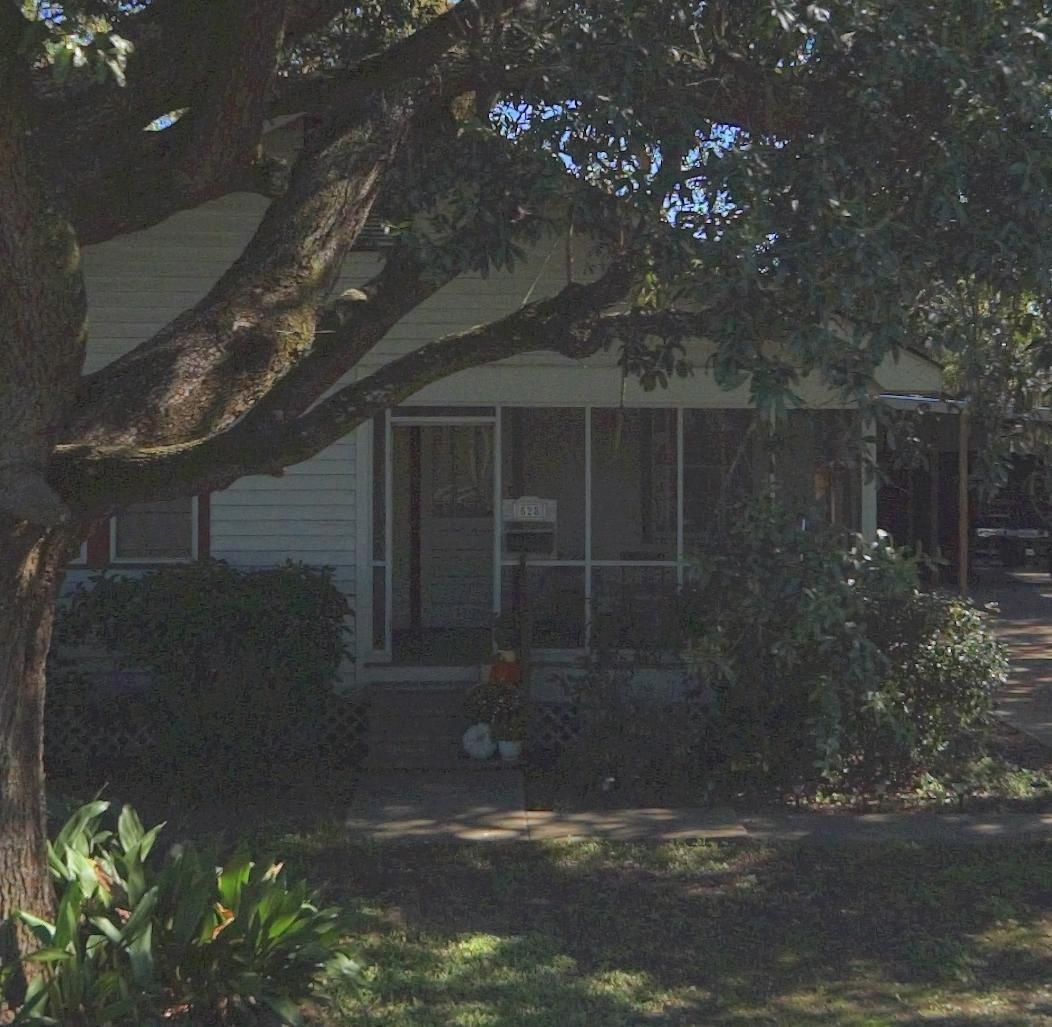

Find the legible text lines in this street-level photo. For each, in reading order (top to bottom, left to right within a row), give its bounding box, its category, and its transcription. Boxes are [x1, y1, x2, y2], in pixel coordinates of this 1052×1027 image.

[520, 506, 539, 516] StreetNumber: 528